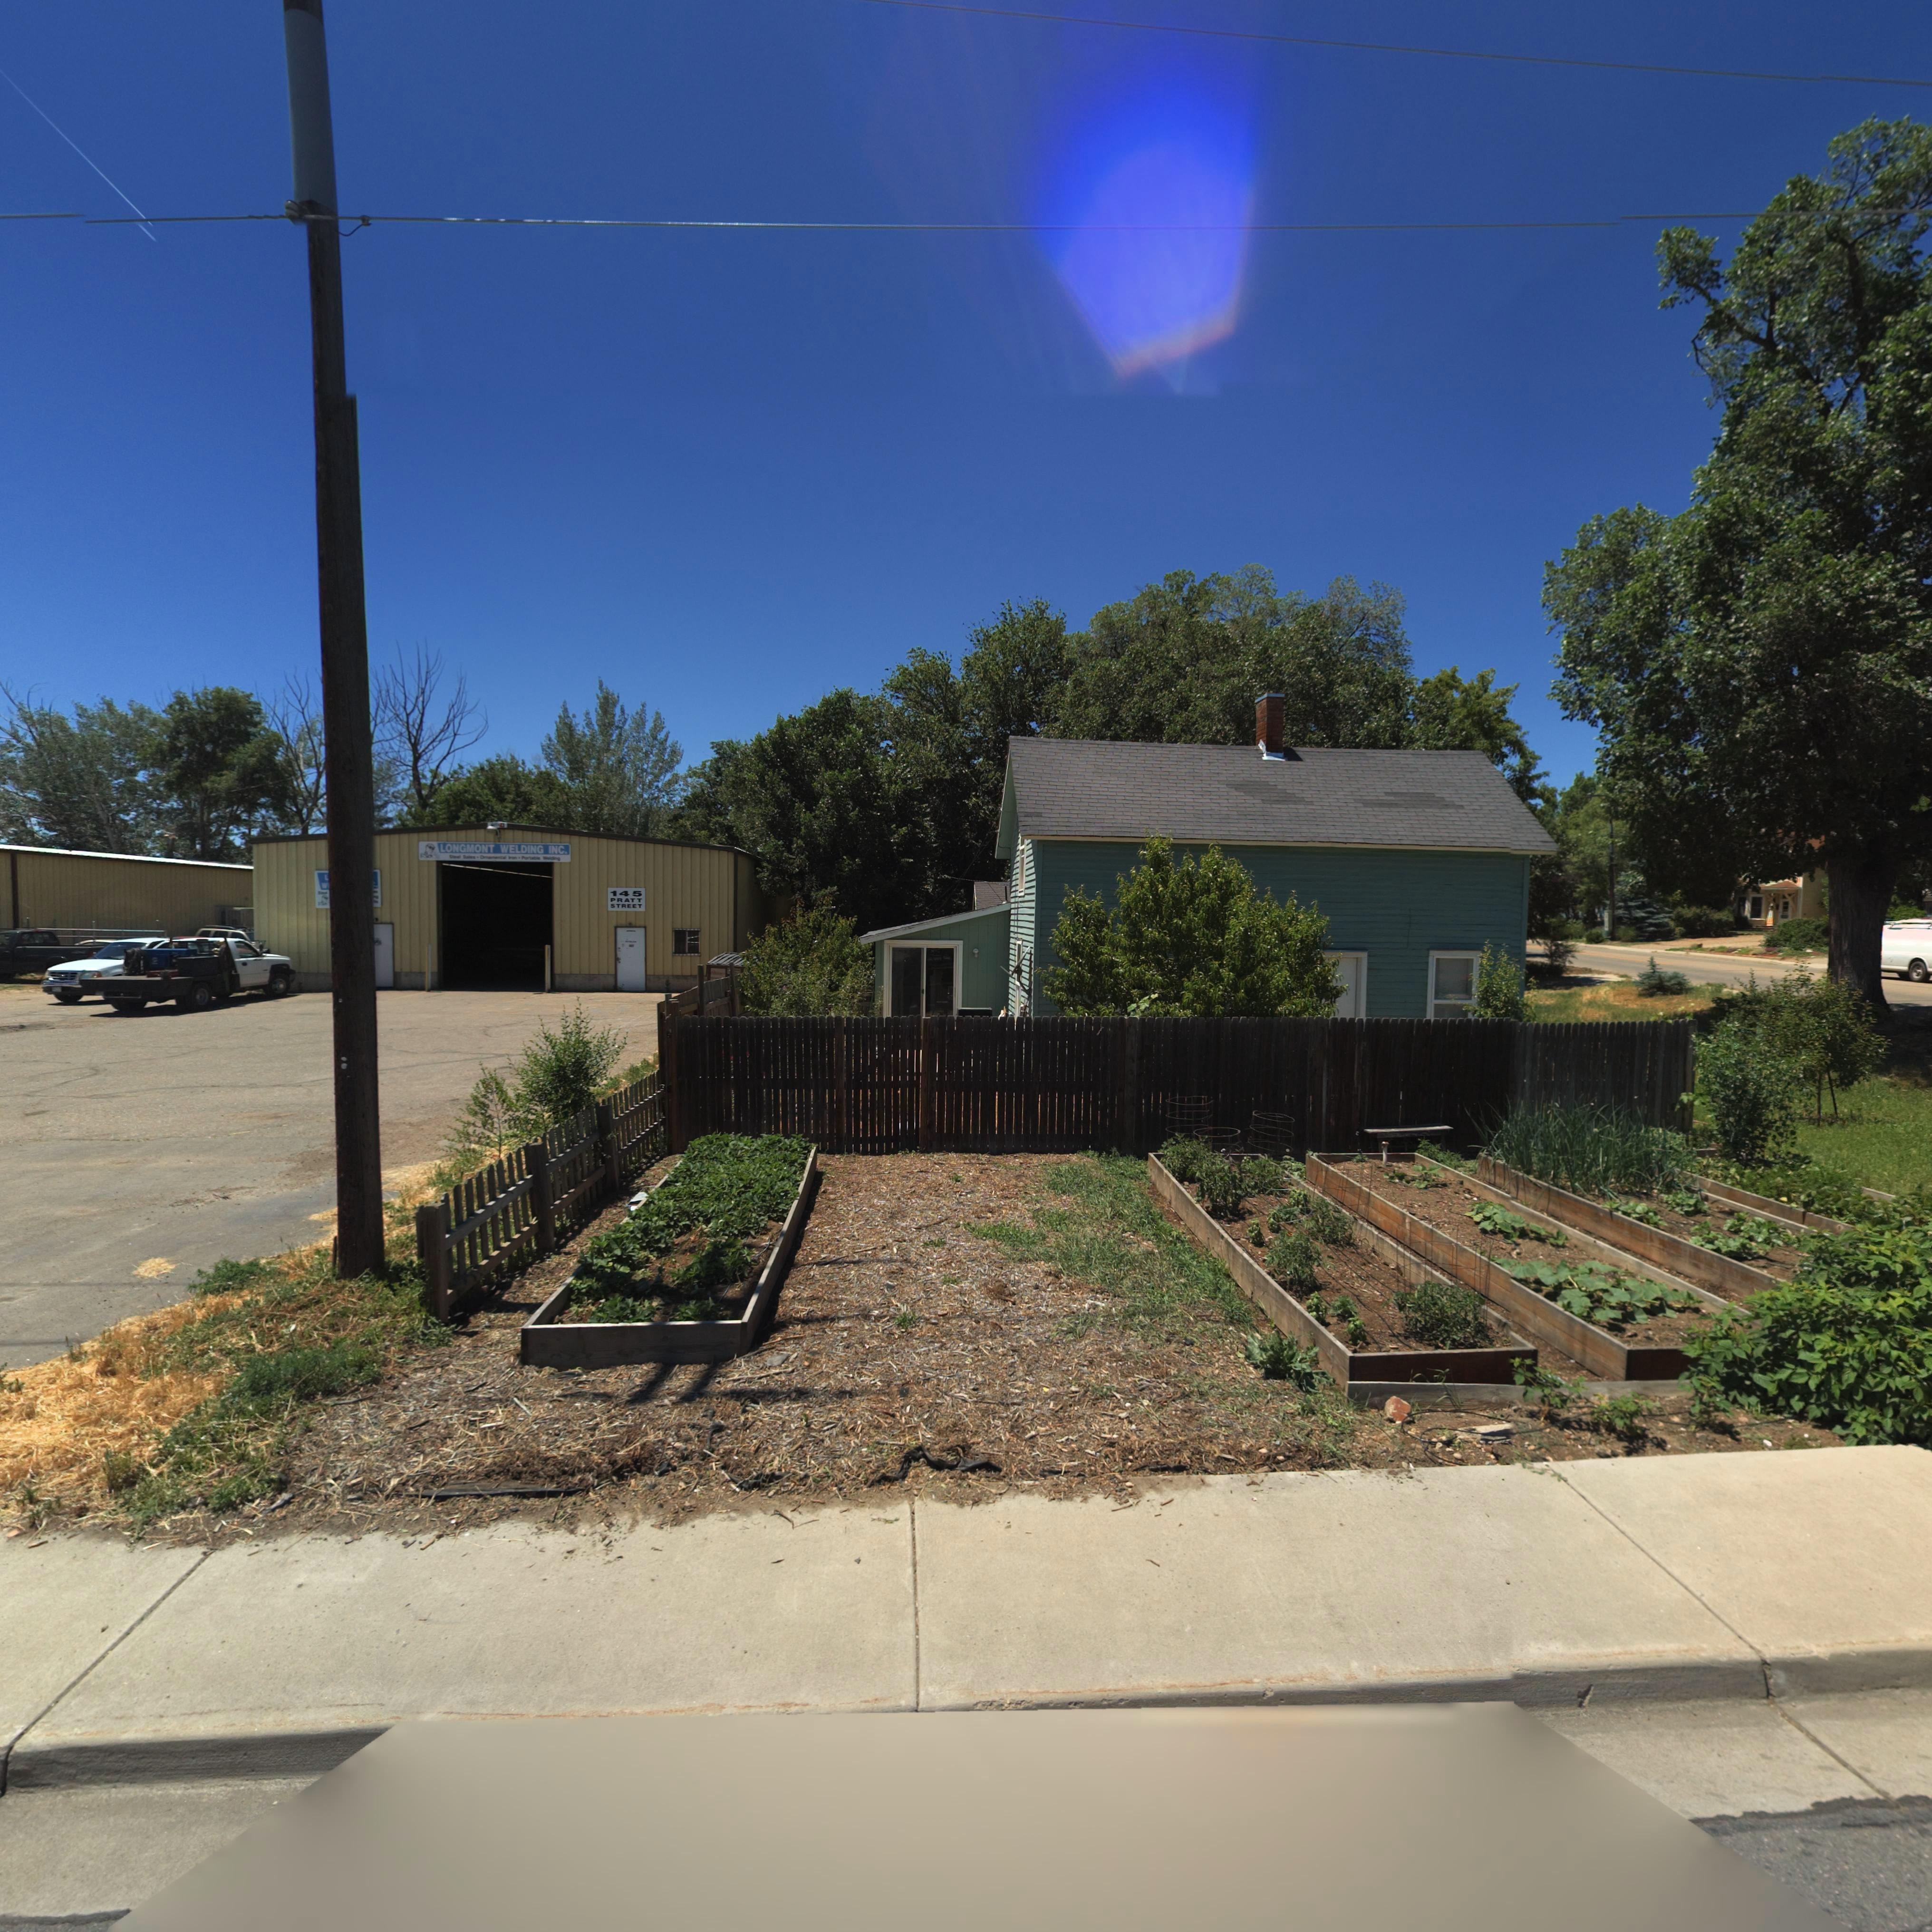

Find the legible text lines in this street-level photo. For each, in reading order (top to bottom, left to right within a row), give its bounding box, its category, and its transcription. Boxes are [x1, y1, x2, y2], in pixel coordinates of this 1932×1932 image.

[439, 843, 568, 854] BusinessName: LONGMONT WELDING INC.
[324, 874, 329, 880] BusinessName: L
[320, 882, 328, 889] BusinessName: W
[609, 890, 642, 897] StreetNumber: 145
[610, 898, 643, 902] StreetName: PRATT
[610, 903, 642, 908] StreetName: STREET